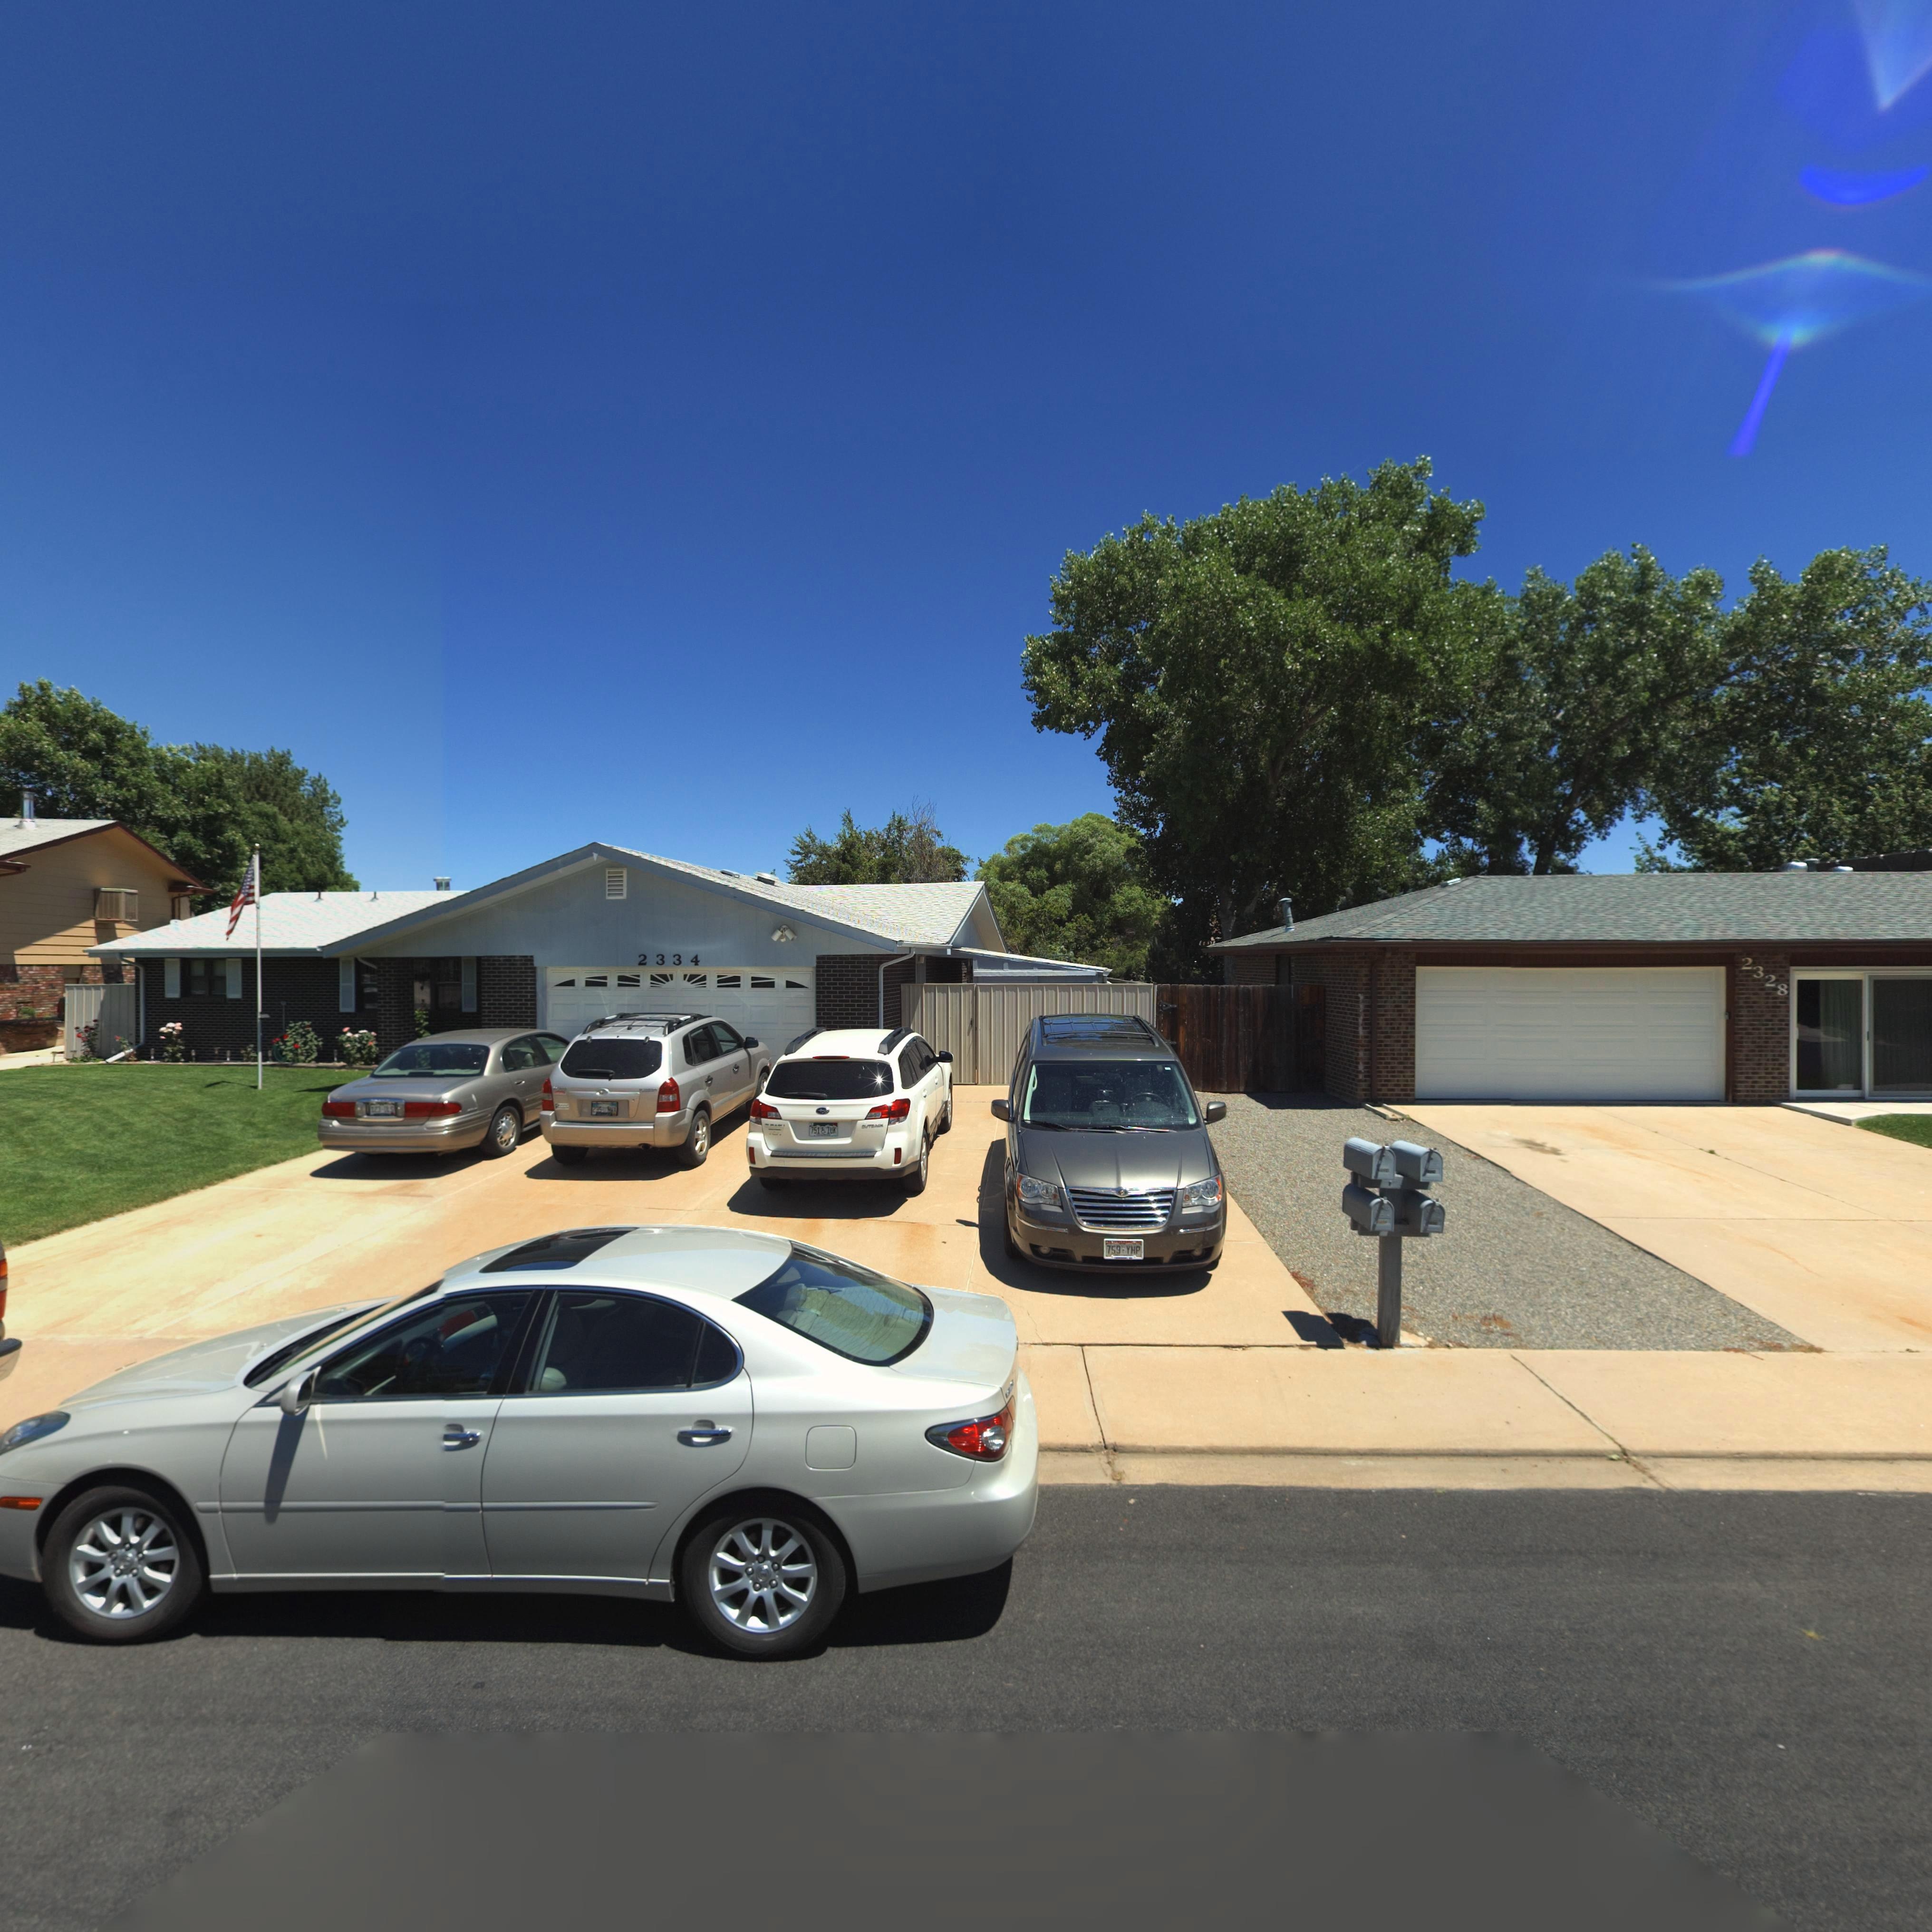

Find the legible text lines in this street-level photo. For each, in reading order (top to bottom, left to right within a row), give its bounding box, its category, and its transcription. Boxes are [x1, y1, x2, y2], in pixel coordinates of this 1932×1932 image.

[638, 954, 699, 965] StreetNumber: 2334
[1740, 956, 1788, 996] StreetNumber: 2328